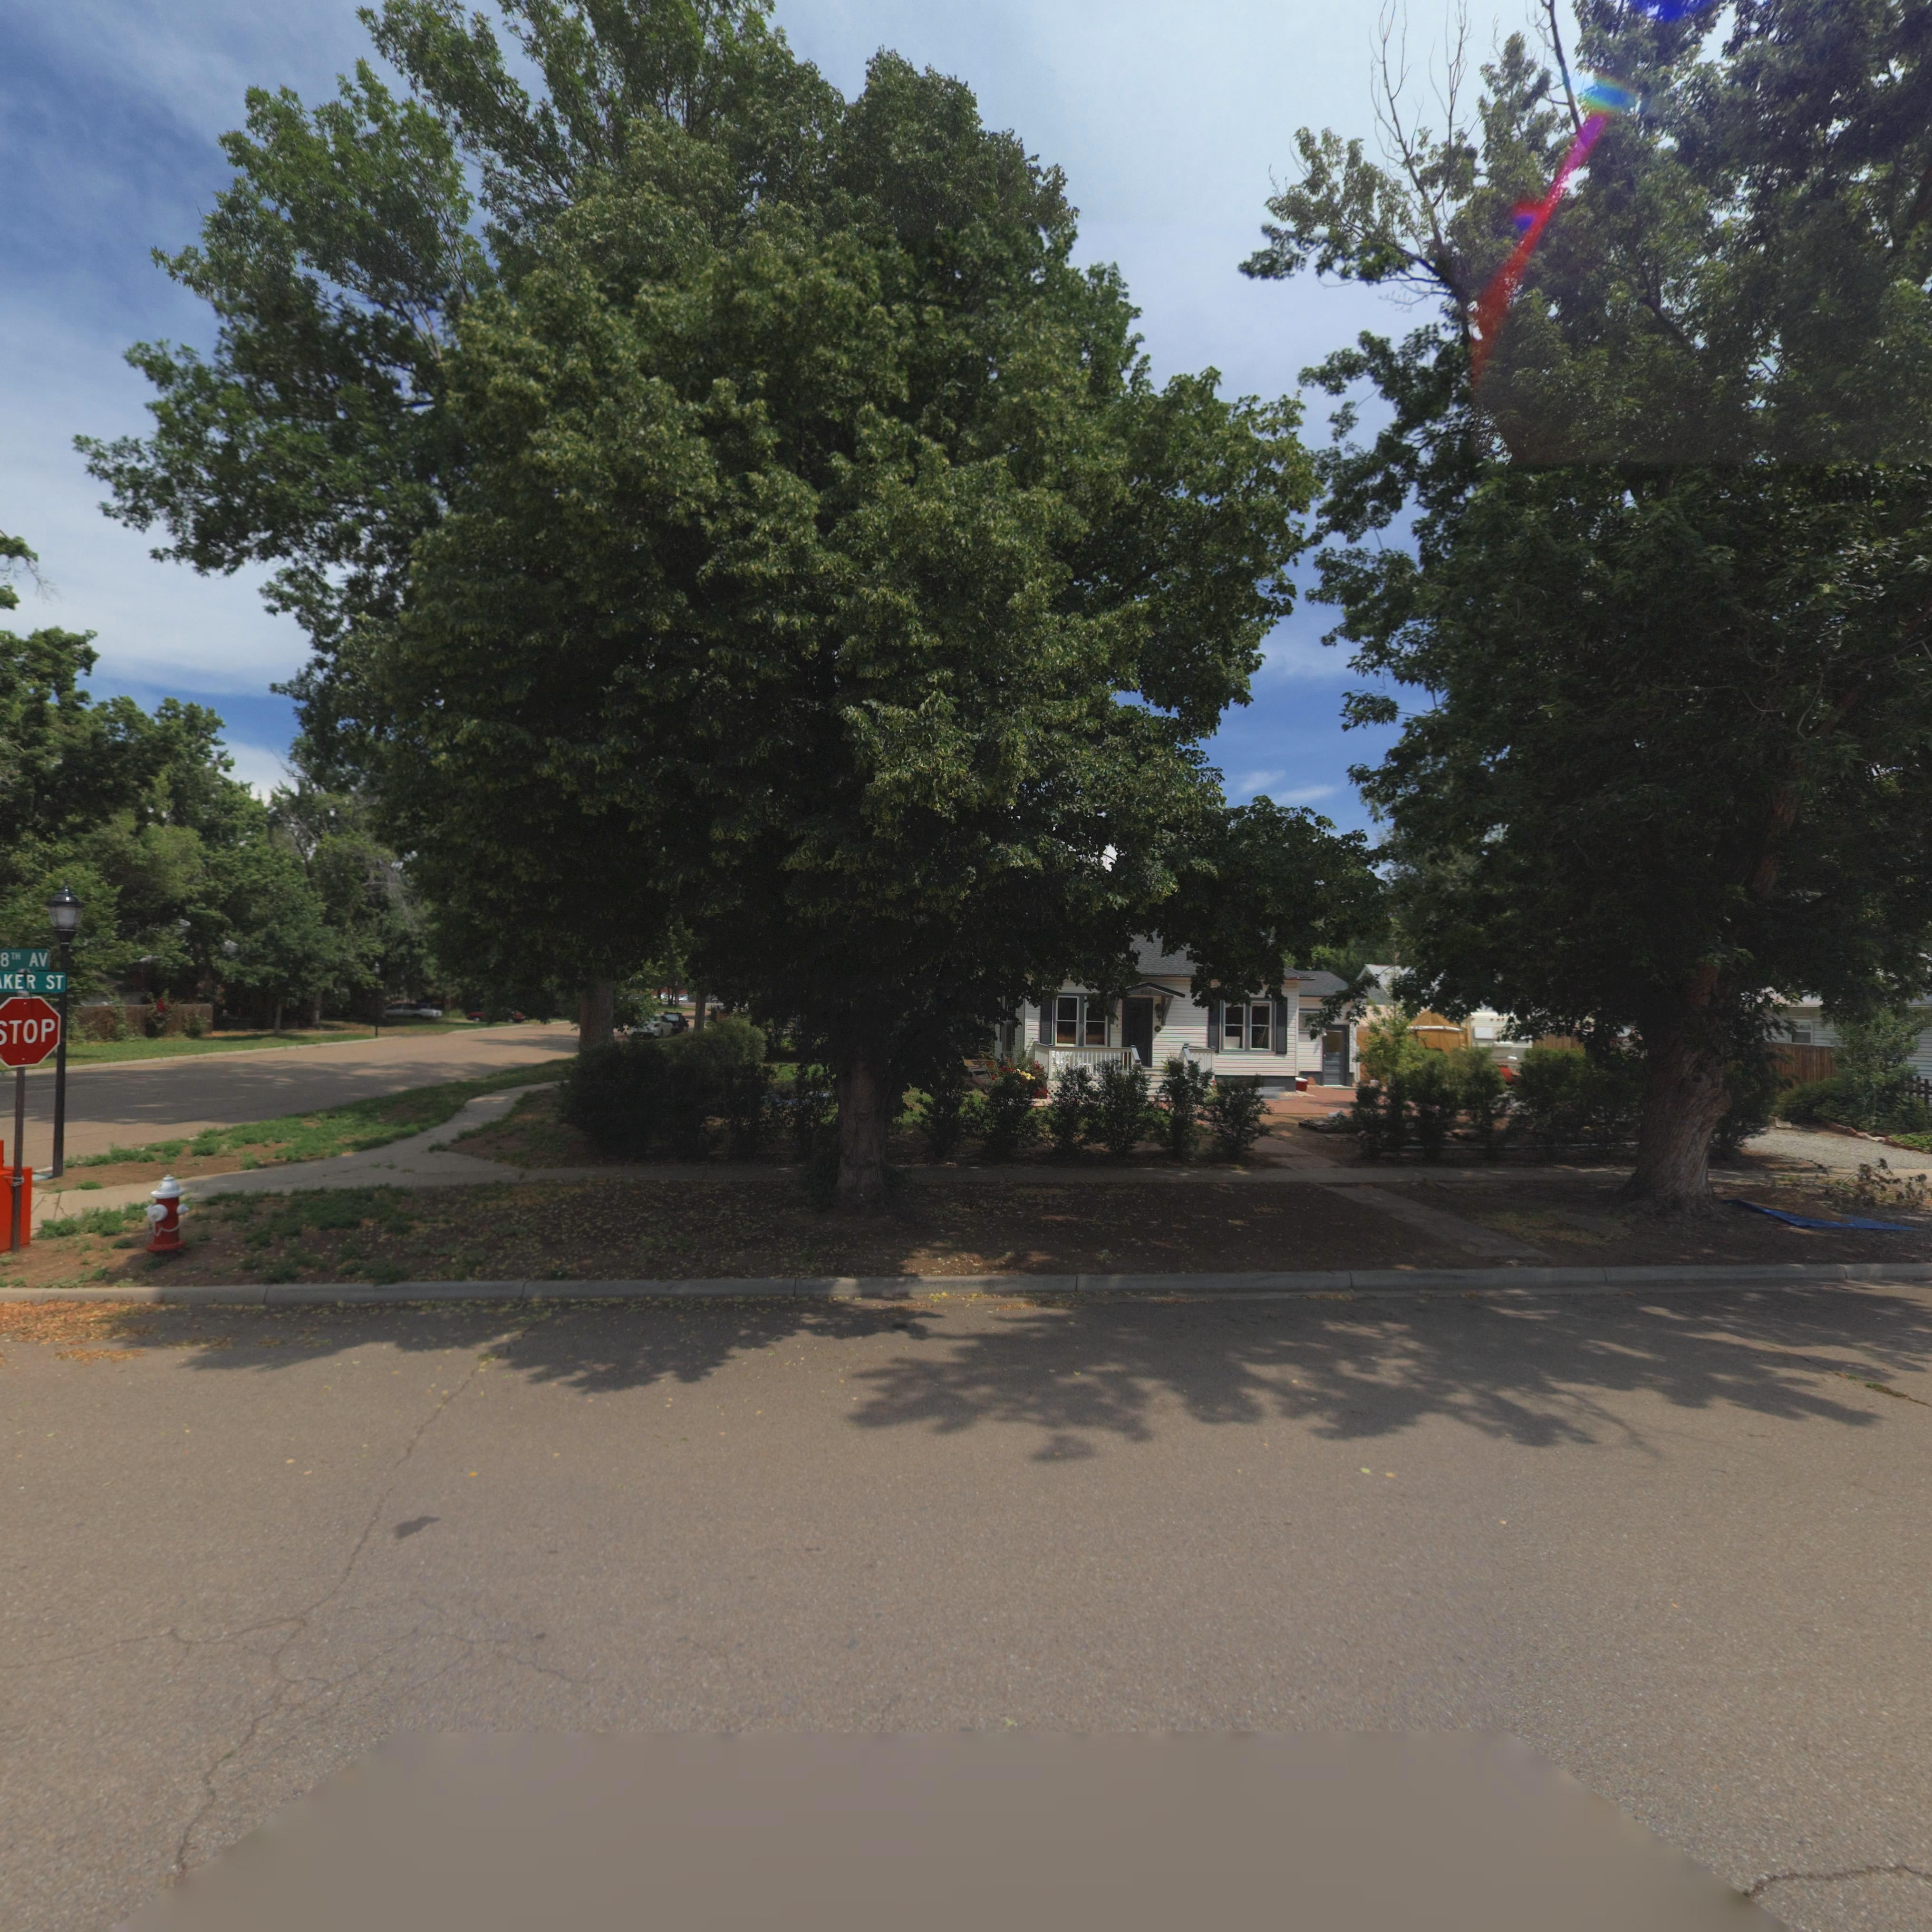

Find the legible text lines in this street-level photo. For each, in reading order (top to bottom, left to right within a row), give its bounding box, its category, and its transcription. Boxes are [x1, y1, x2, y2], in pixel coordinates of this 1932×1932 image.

[0, 952, 48, 967] StreetName: 8TH AV
[3, 974, 63, 990] StreetName: KER ST
[1140, 989, 1151, 994] StreetNumber: 802